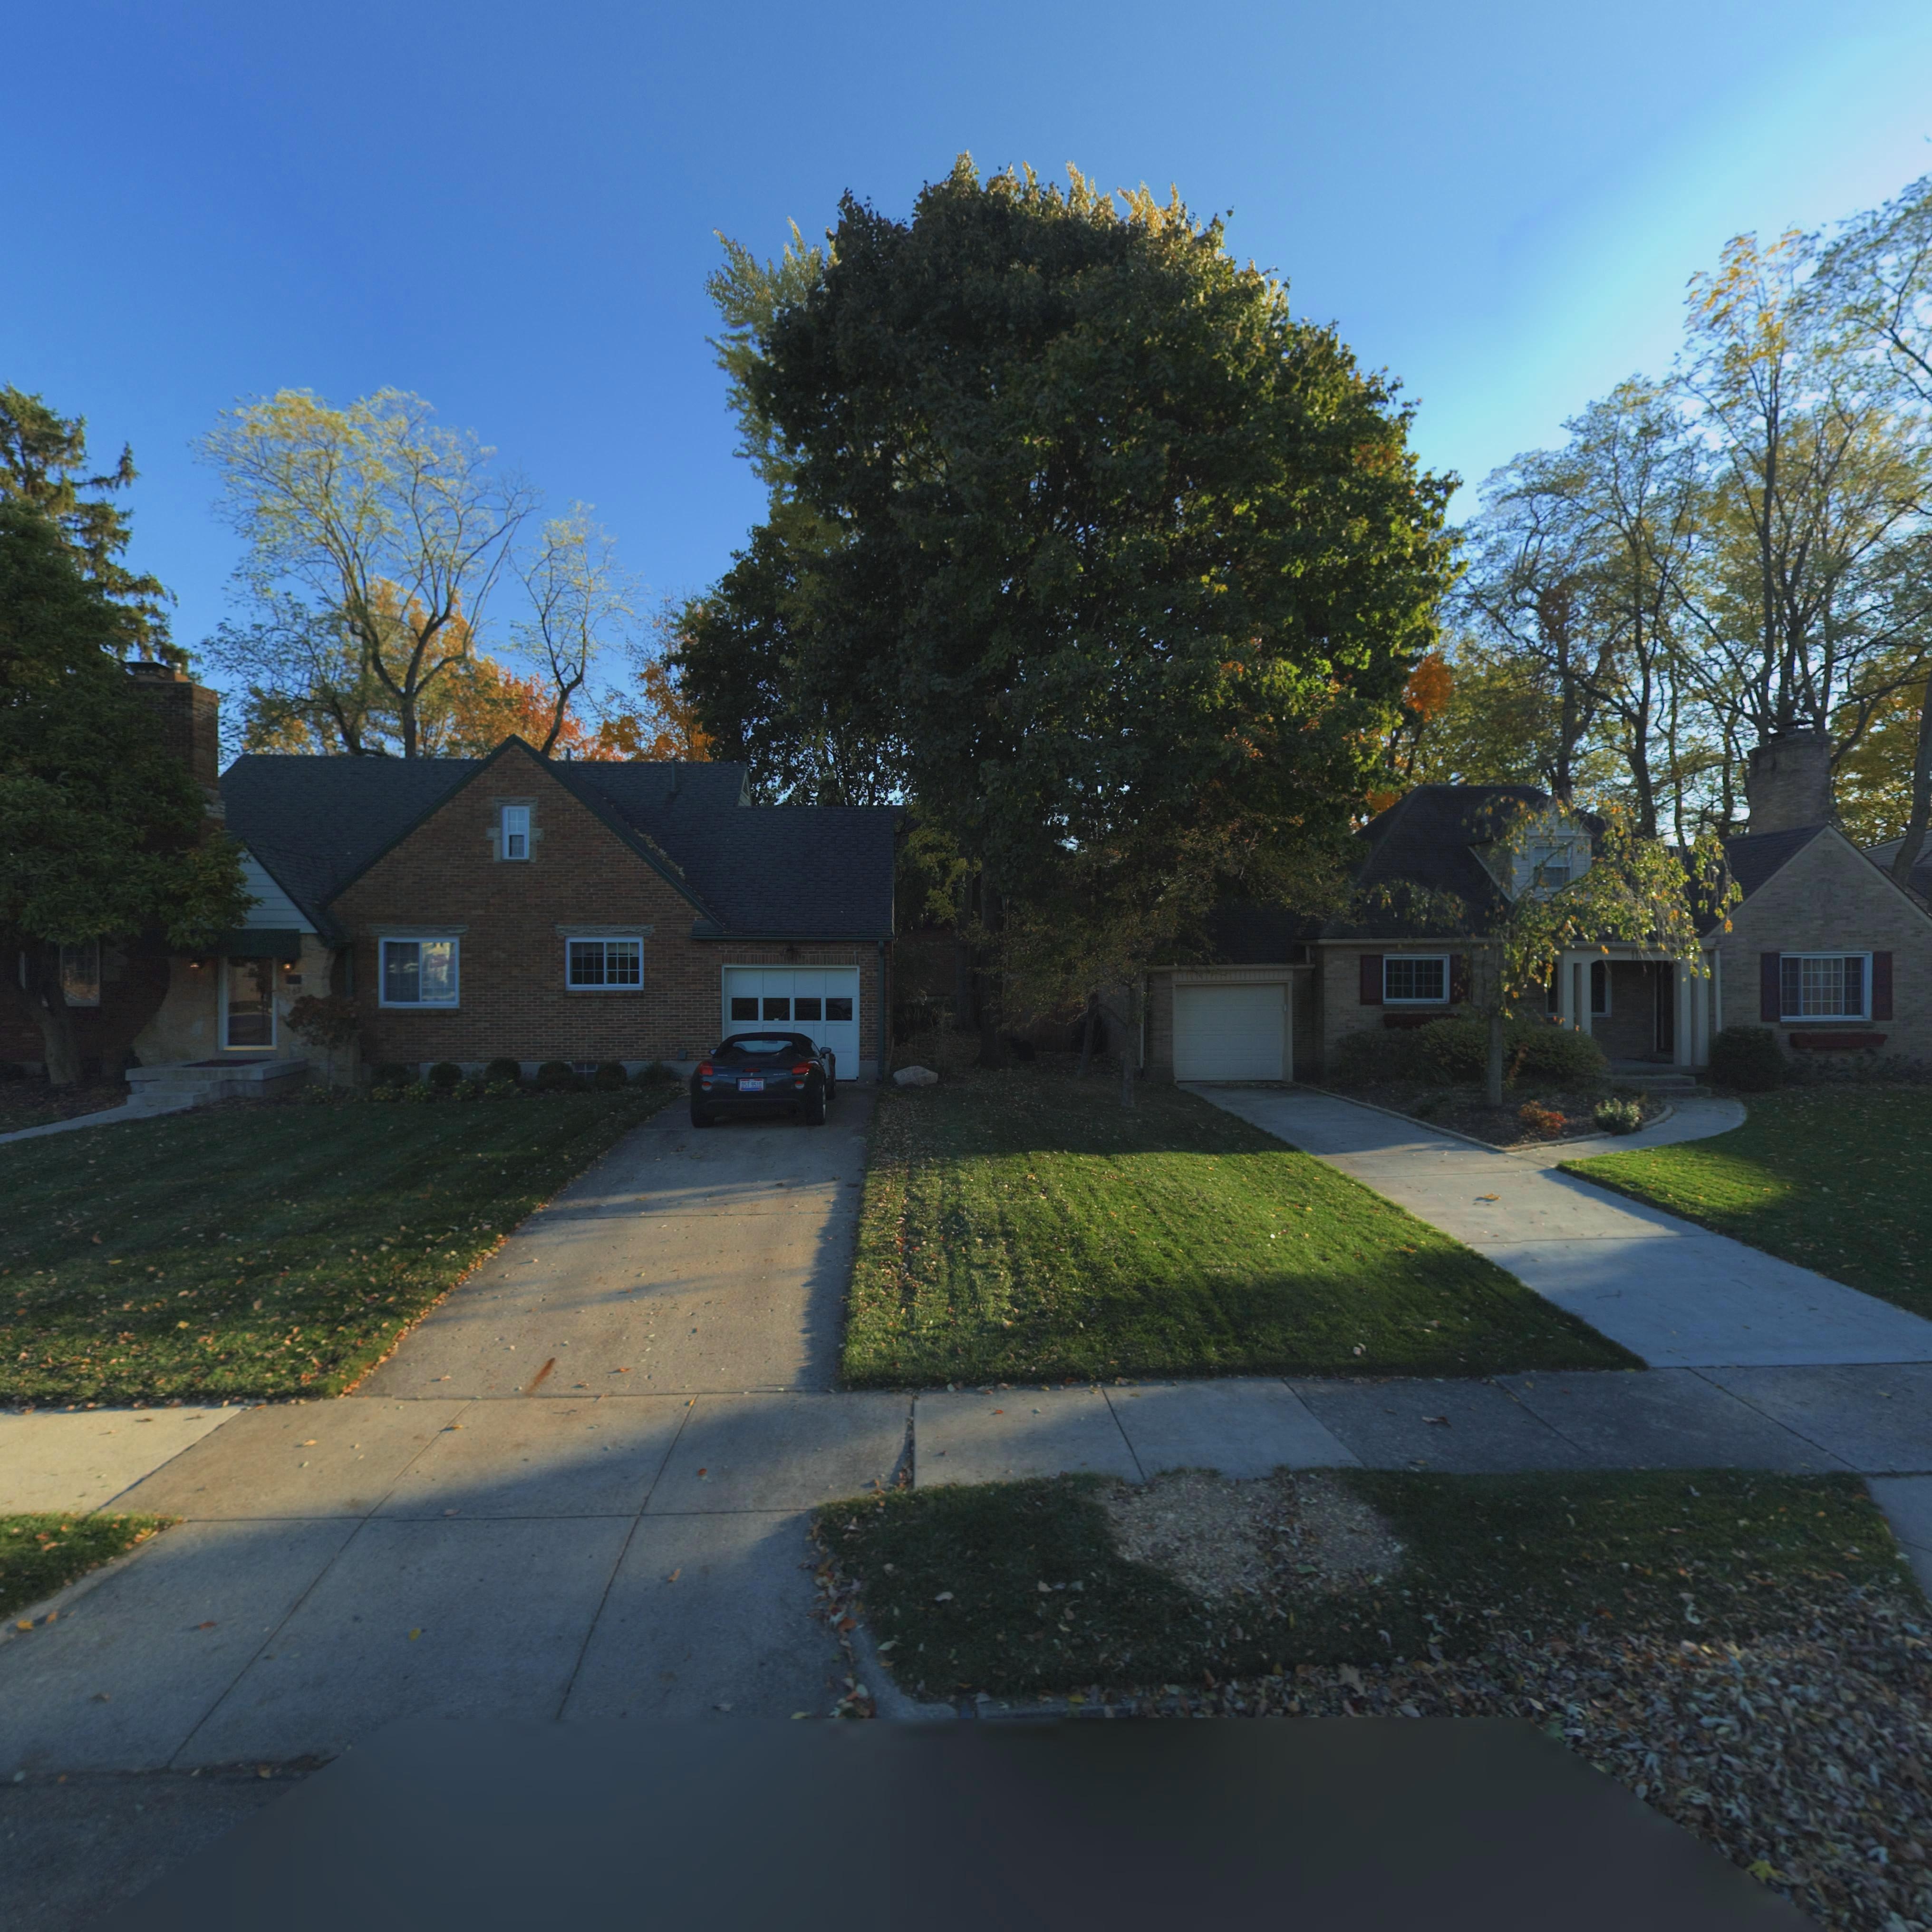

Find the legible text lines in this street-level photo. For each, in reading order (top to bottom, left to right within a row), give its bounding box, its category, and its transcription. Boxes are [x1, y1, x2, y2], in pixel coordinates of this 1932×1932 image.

[1630, 950, 1645, 960] StreetNumber: 11*
[285, 986, 303, 997] StreetNumber: 1**s